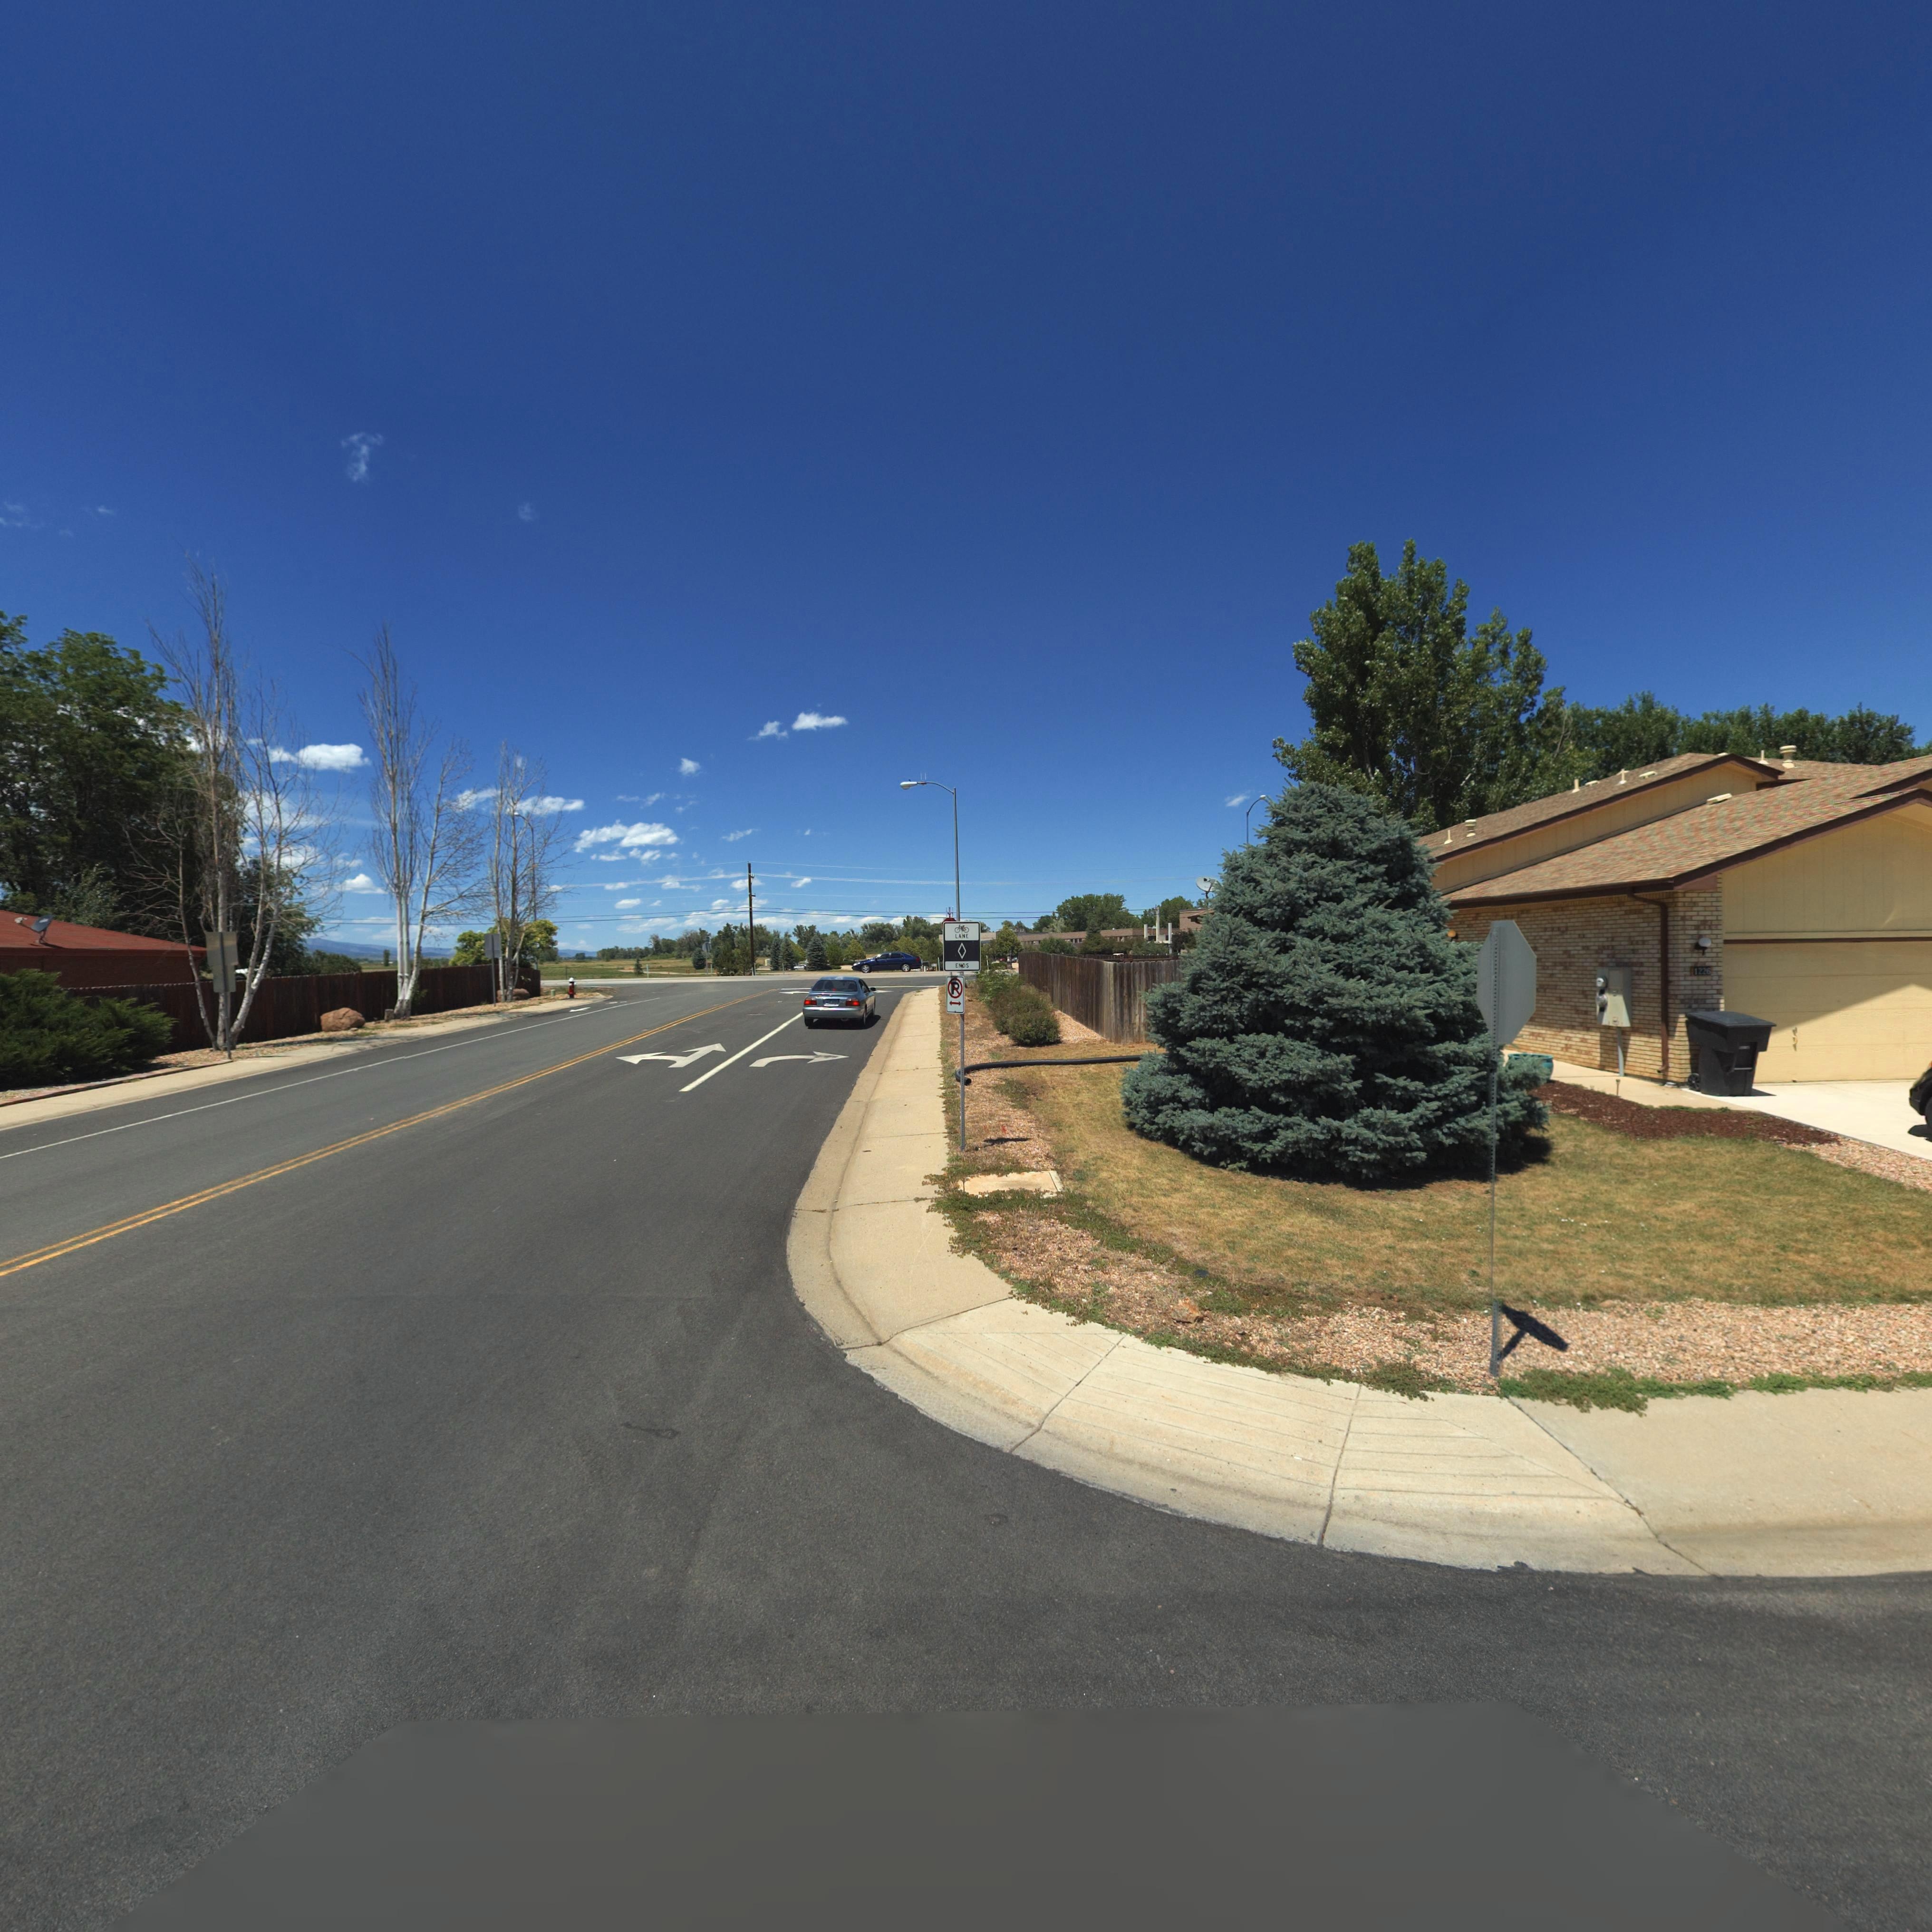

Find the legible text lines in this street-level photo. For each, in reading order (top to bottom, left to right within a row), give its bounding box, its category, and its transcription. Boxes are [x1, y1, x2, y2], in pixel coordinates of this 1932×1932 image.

[1694, 967, 1711, 975] StreetNumber: 1226